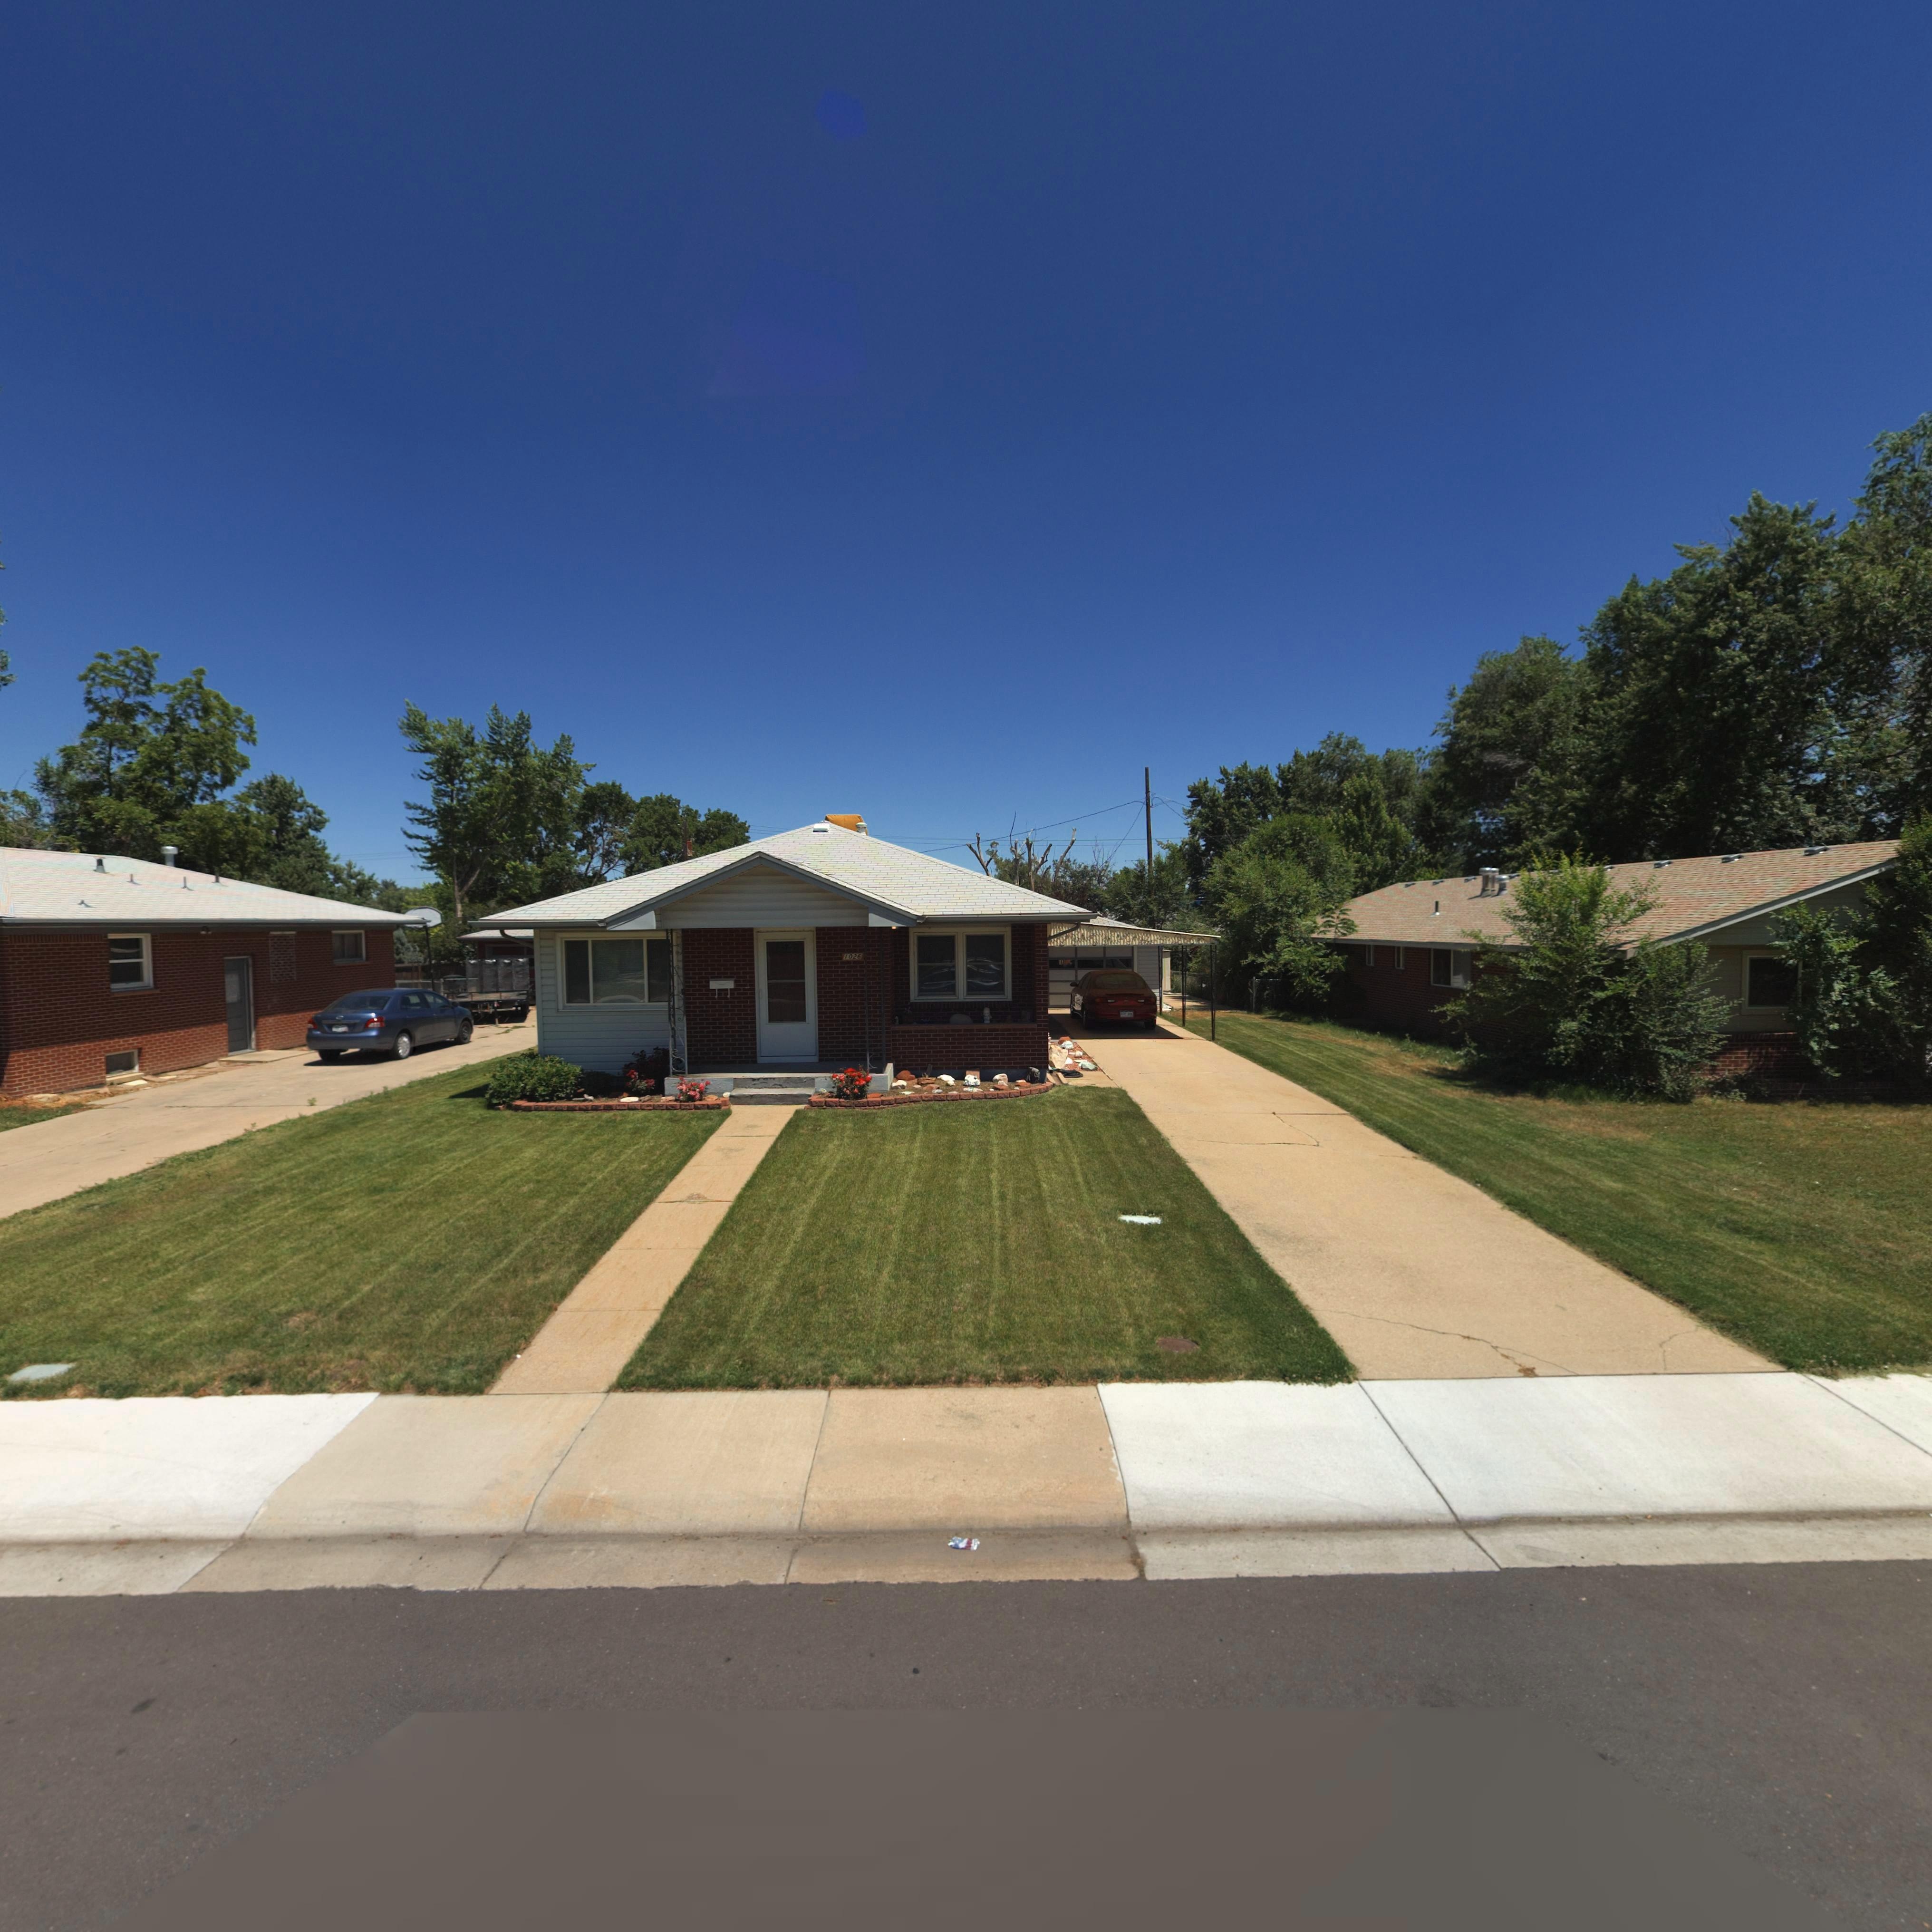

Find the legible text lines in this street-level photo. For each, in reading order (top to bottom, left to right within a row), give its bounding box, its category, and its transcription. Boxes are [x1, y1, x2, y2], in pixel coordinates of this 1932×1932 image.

[843, 953, 862, 959] StreetNumber: 1026